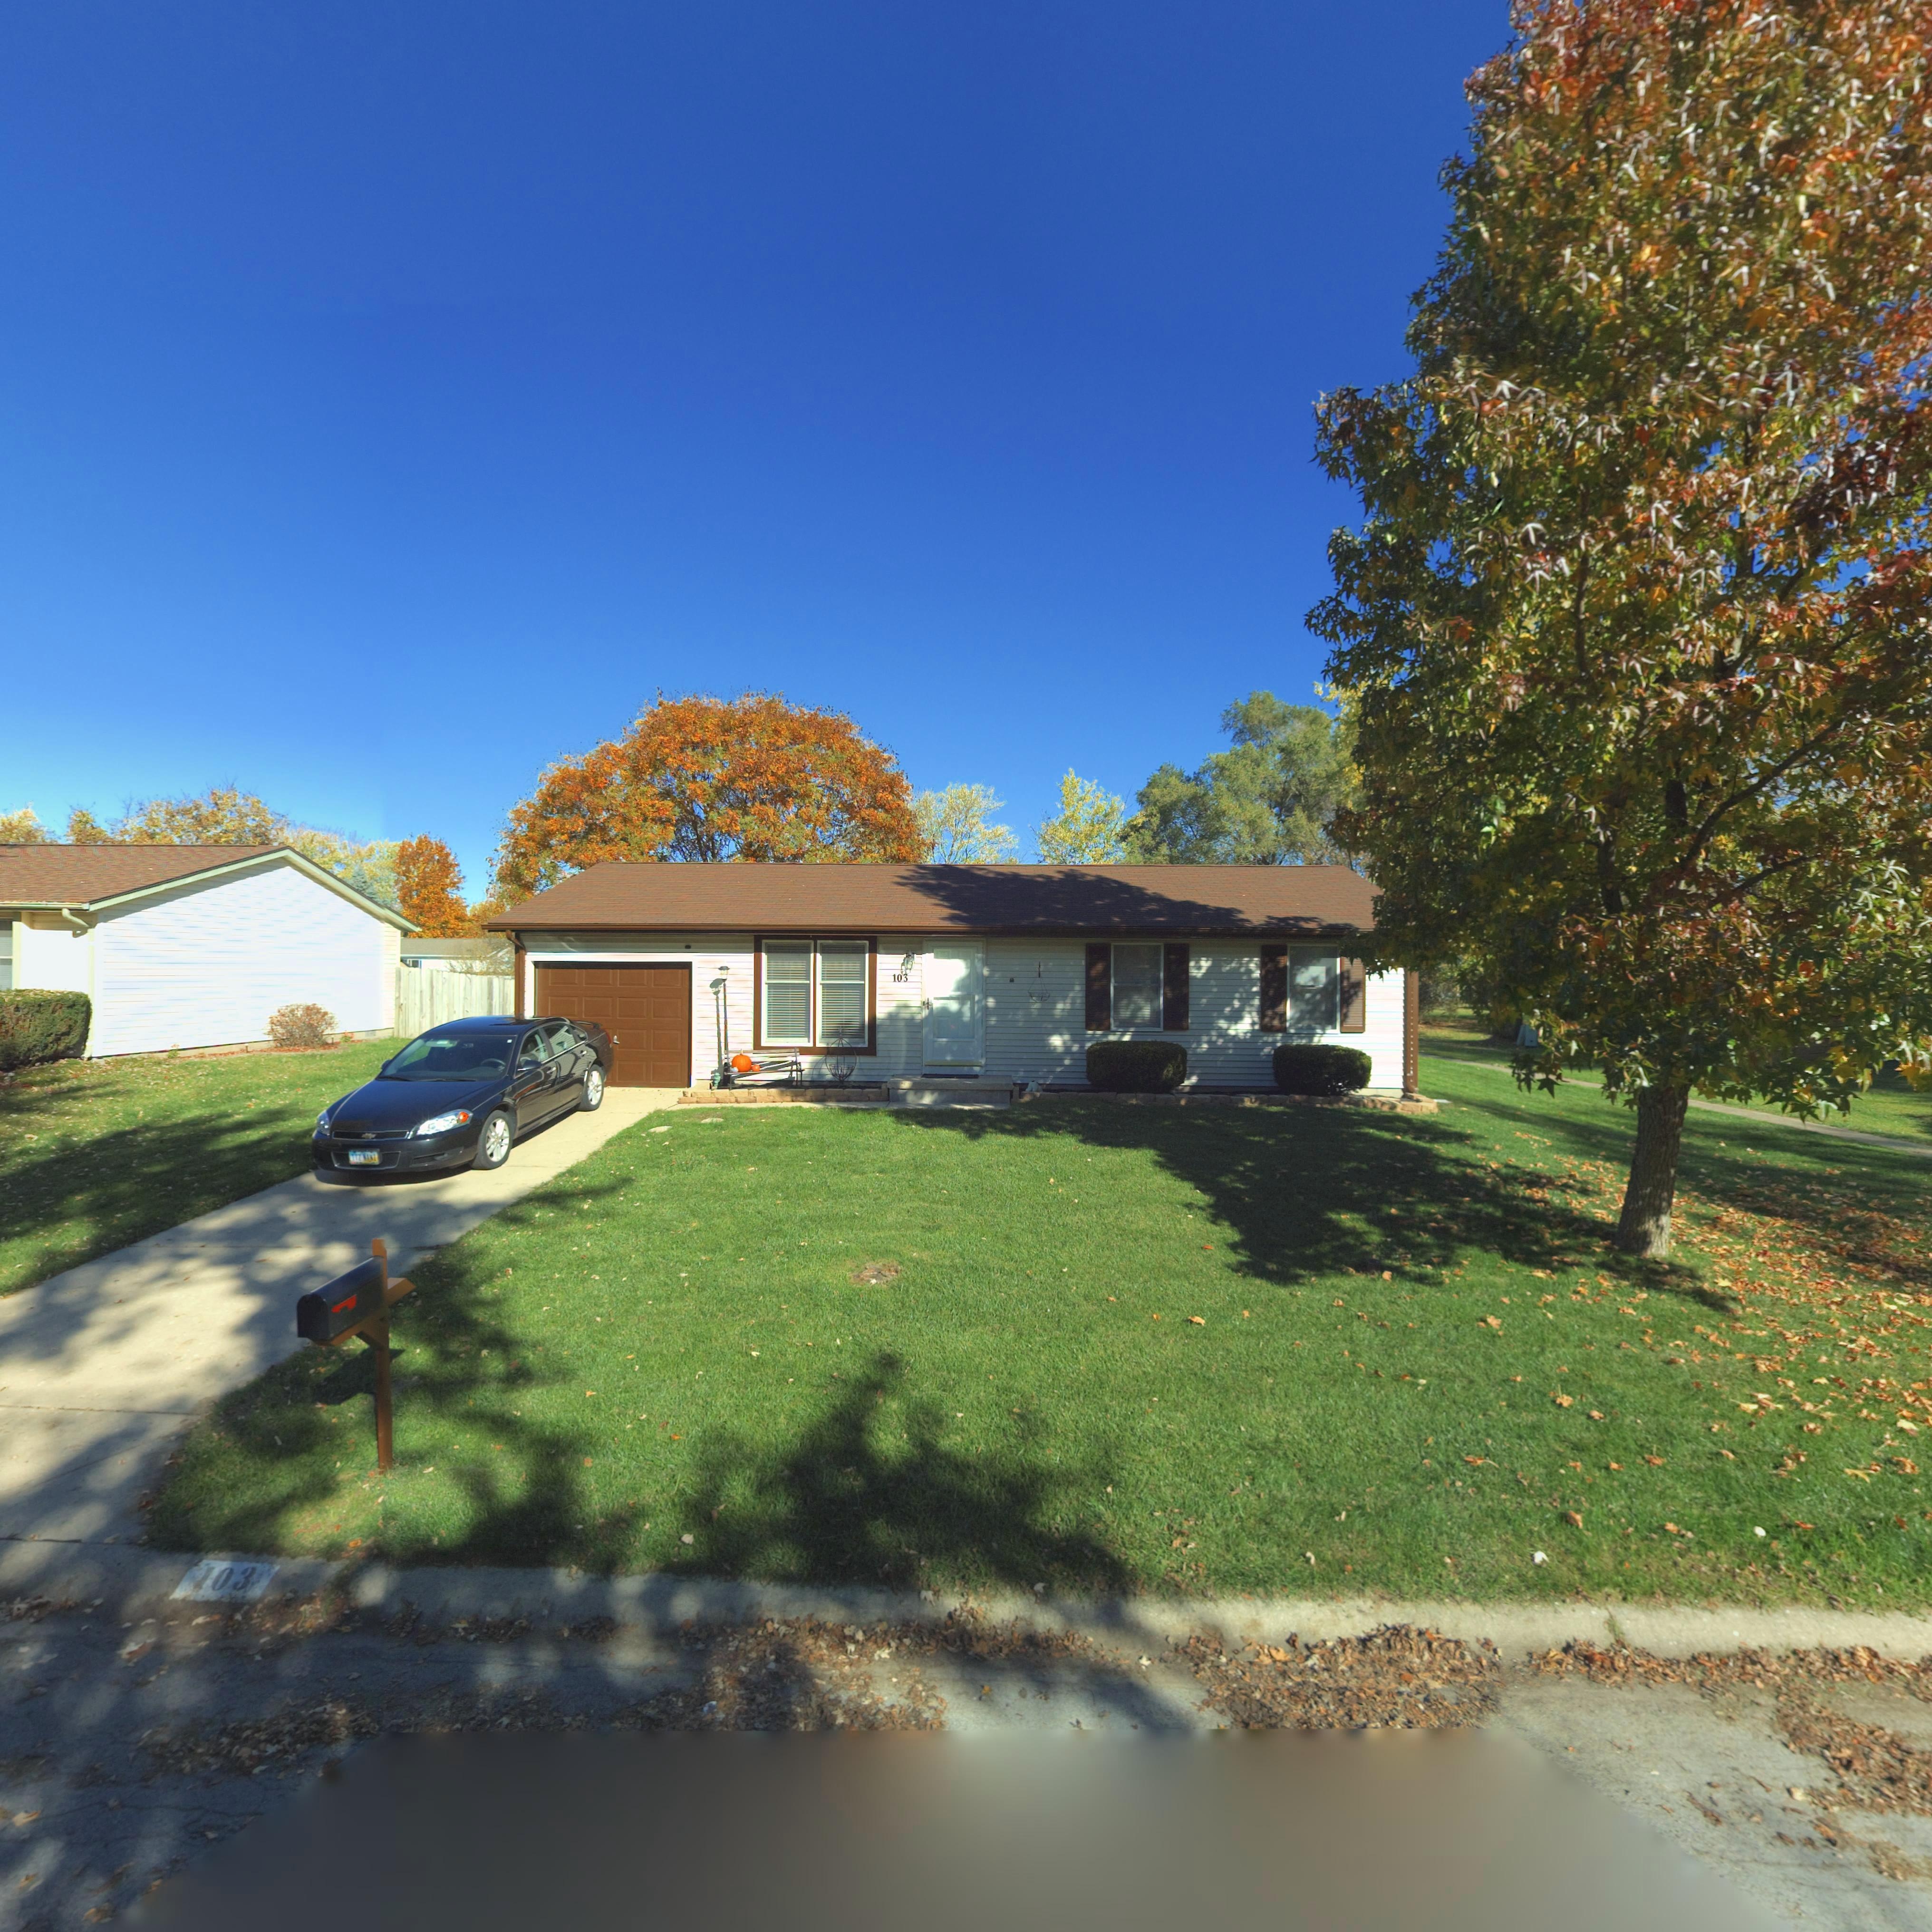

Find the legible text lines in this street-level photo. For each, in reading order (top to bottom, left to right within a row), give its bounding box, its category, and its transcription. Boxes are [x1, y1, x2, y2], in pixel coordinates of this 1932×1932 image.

[891, 973, 908, 983] StreetNumber: 103
[191, 1565, 259, 1593] StreetNumber: 103